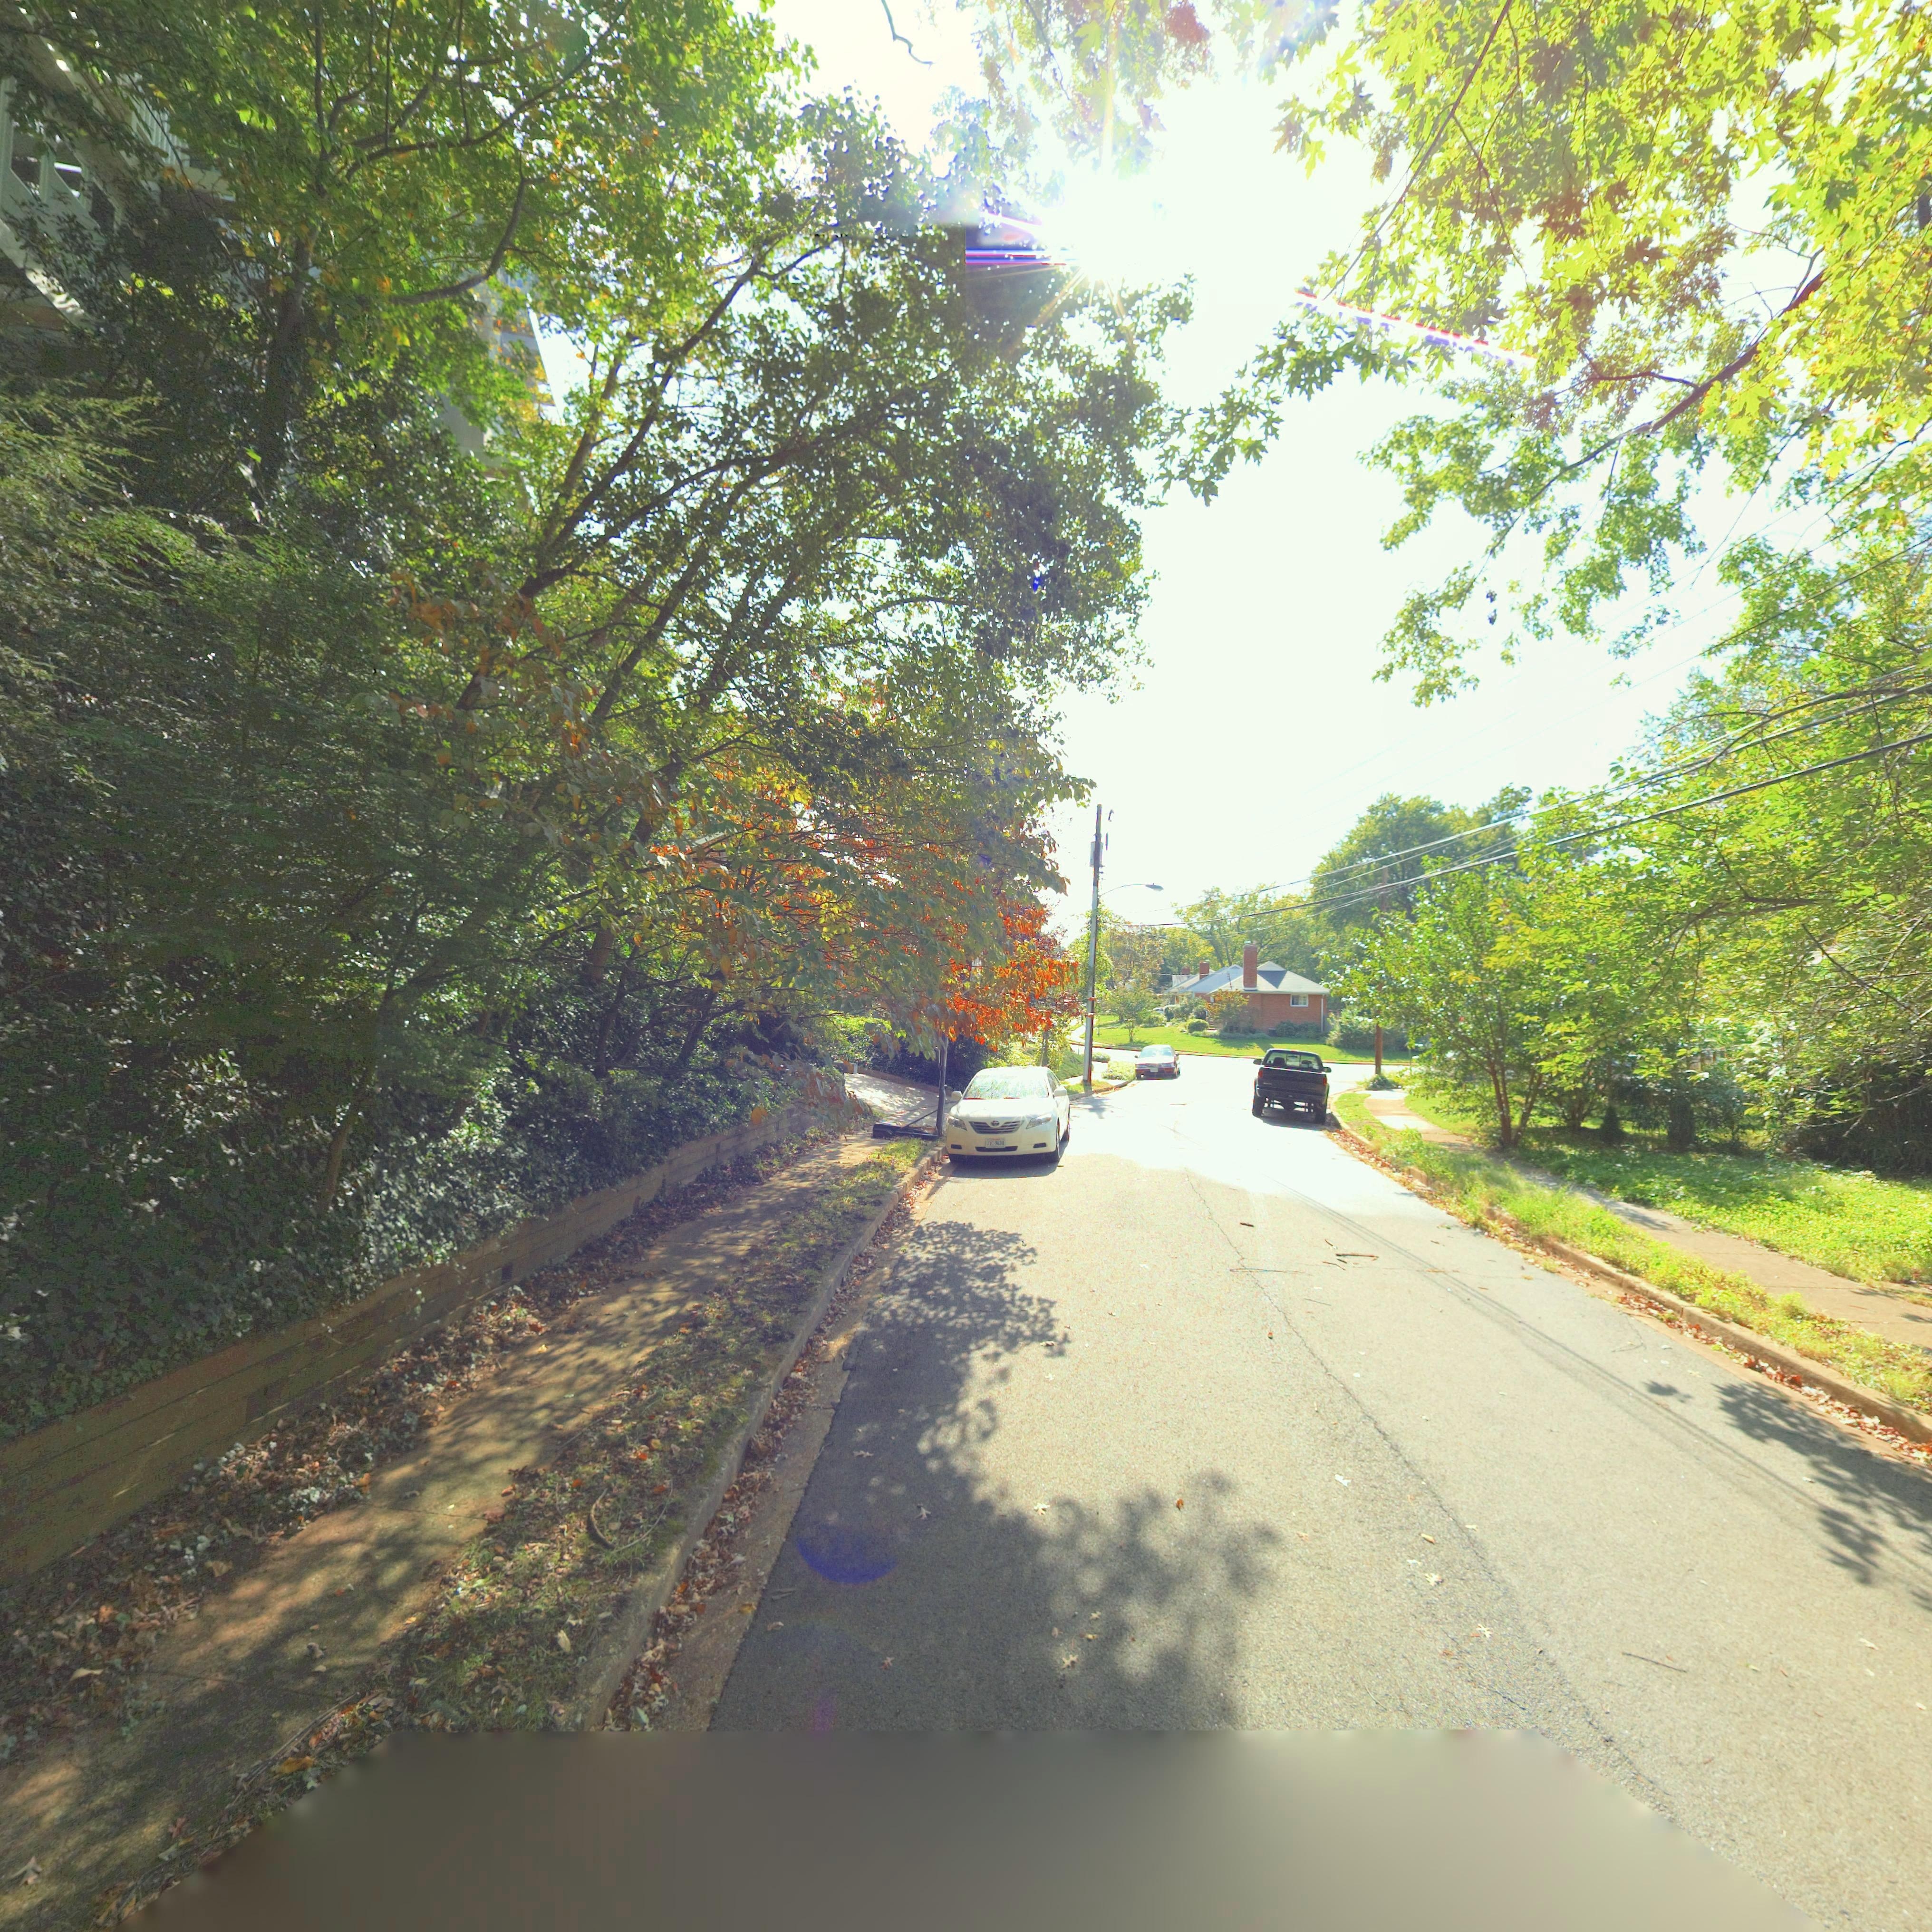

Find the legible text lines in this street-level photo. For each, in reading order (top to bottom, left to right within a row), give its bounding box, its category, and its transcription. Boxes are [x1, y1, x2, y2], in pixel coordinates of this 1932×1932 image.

[986, 1140, 1004, 1146] None: J**2631